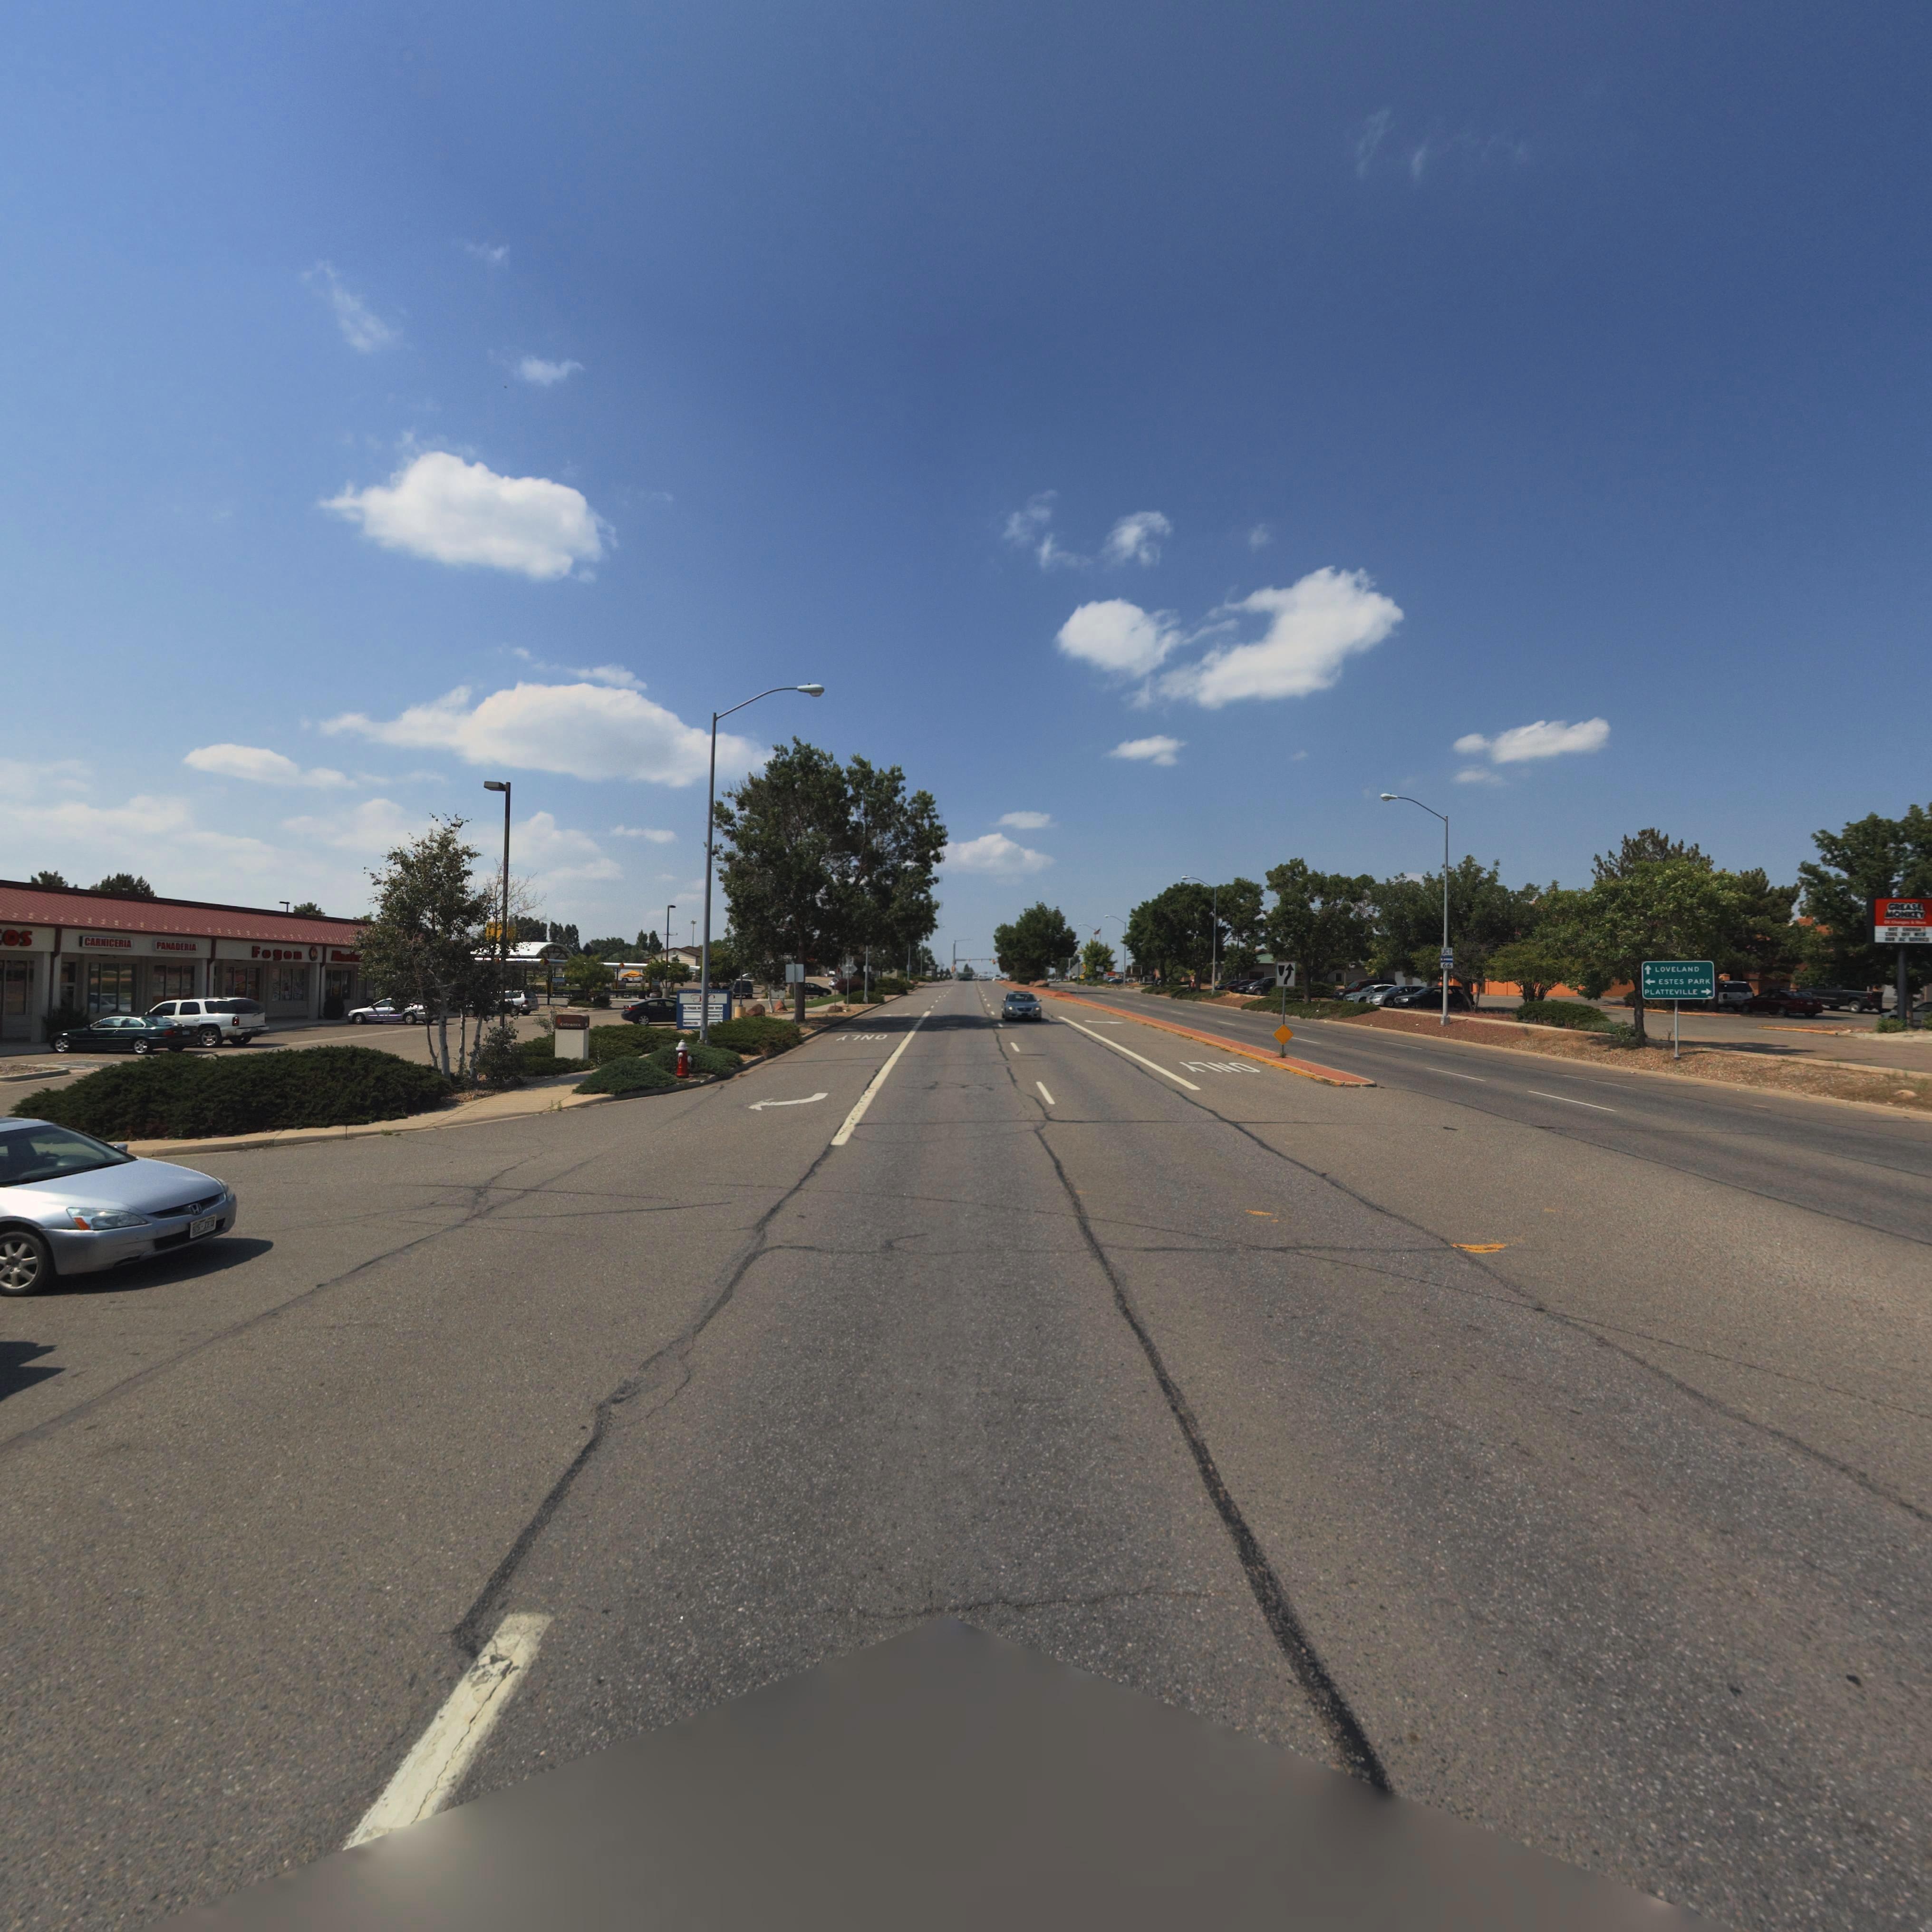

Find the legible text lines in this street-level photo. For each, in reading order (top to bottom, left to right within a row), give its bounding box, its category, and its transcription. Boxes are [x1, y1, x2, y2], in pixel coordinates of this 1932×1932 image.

[1888, 903, 1922, 911] BusinessName: GREASE
[1884, 911, 1926, 918] BusinessName: MONKEY
[1, 929, 33, 947] BusinessName: OS
[251, 945, 302, 960] BusinessName: Fogon
[330, 949, 366, 962] BusinessName: Marke*